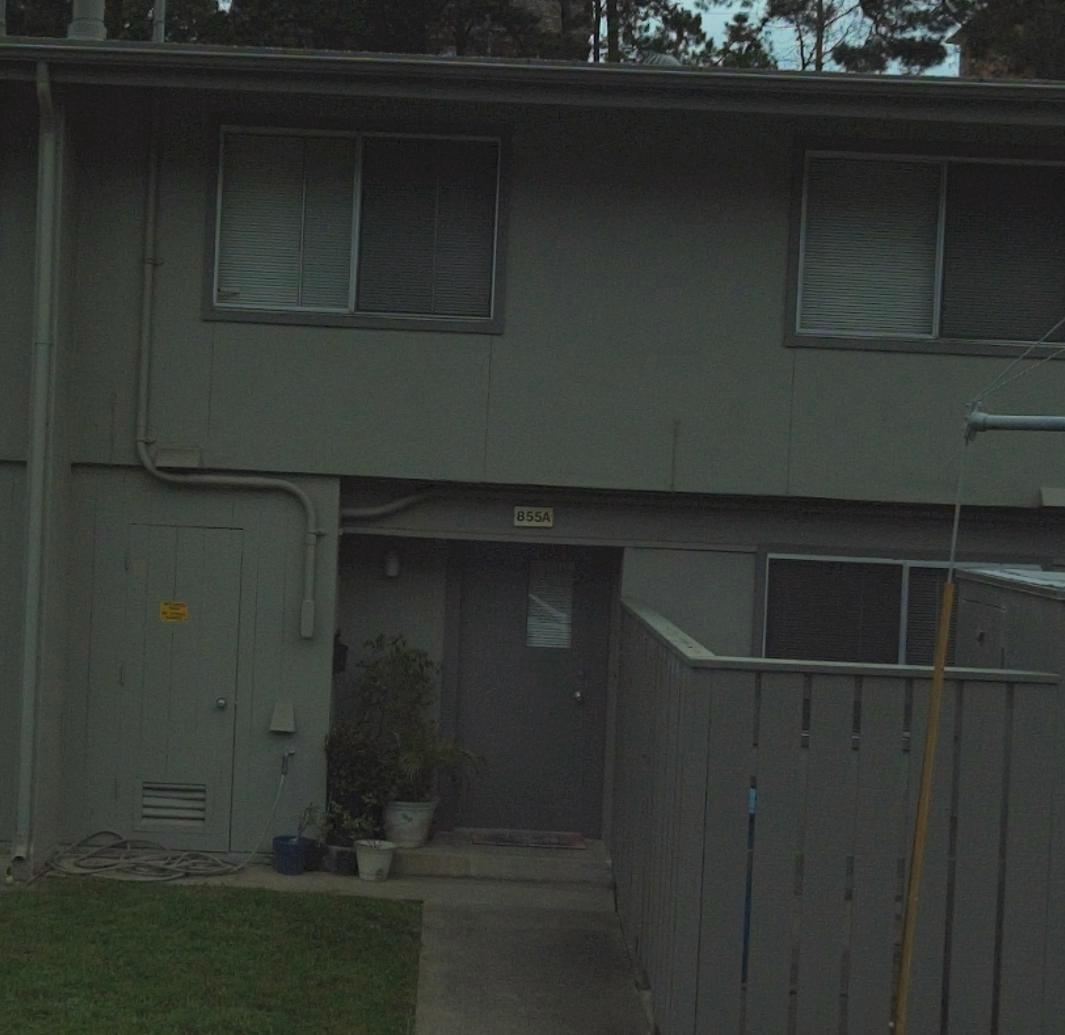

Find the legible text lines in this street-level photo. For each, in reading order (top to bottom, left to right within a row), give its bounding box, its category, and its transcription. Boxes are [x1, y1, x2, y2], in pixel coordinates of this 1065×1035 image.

[516, 510, 552, 524] StreetNumber: 855A